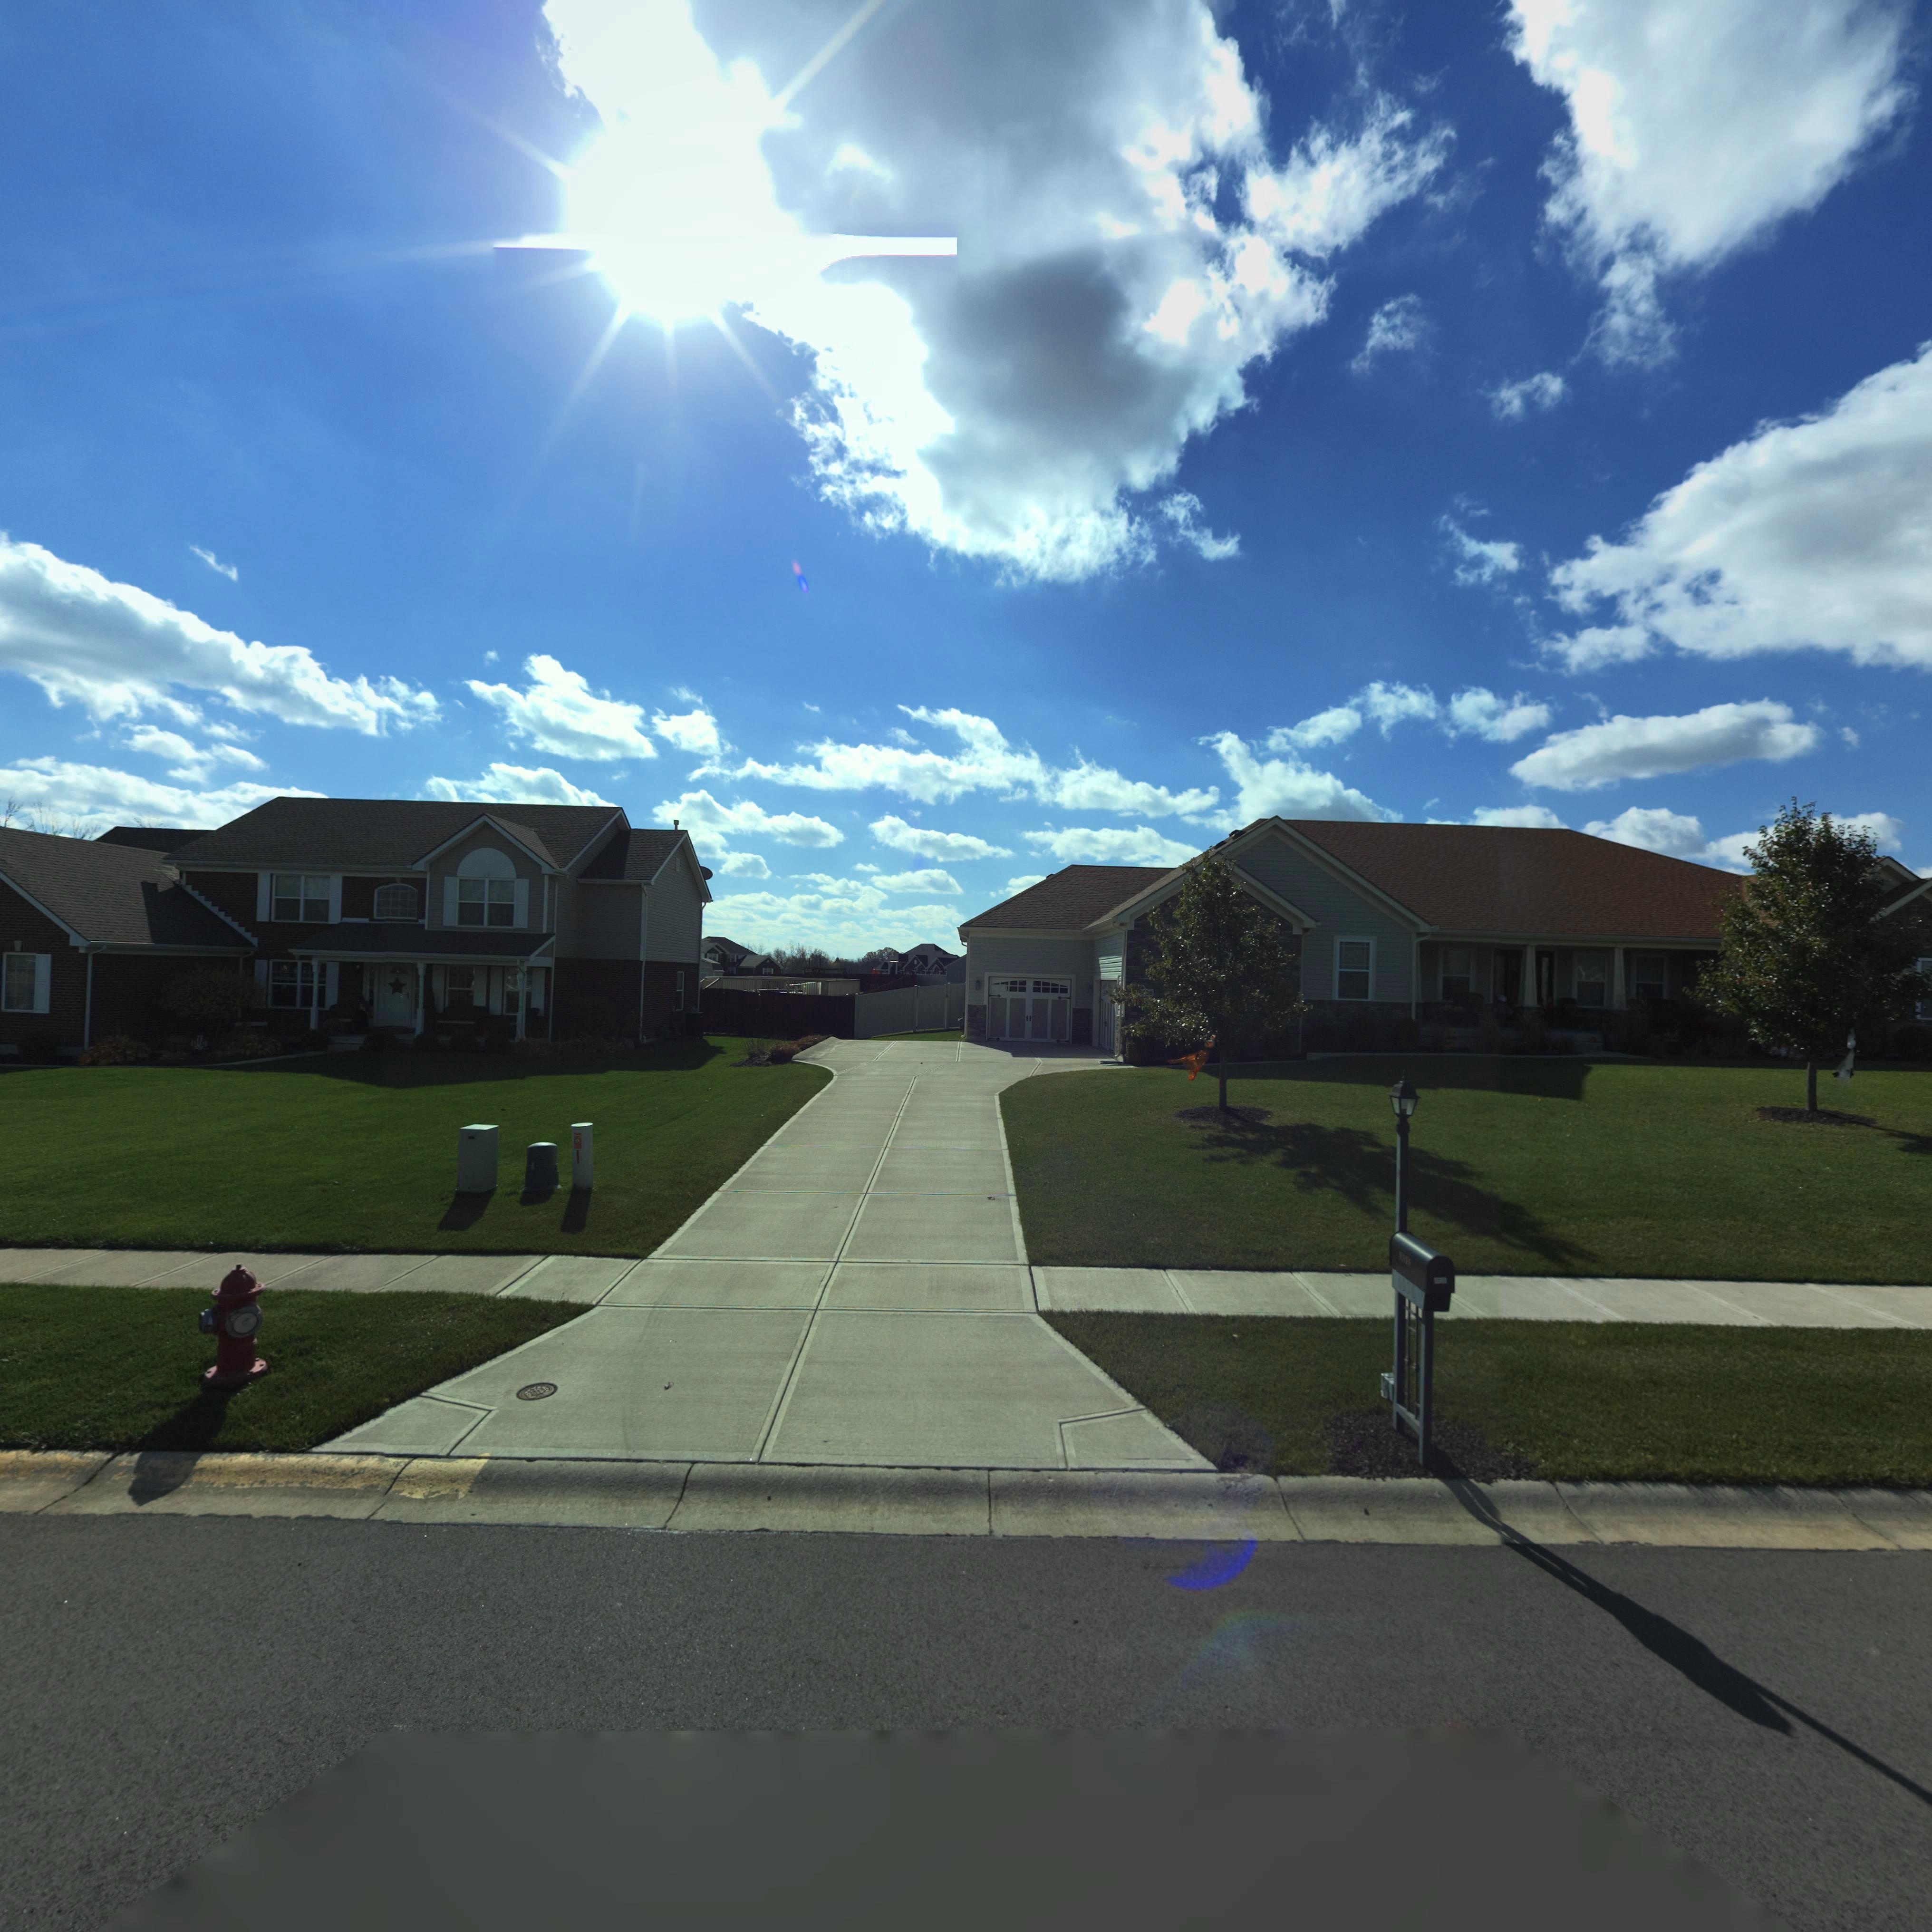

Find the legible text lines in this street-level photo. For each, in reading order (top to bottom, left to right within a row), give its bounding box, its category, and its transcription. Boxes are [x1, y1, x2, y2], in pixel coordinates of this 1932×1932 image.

[1149, 990, 1153, 995] StreetNumber: 6
[1398, 1249, 1411, 1269] StreetNumber: *9*6
[1396, 1274, 1417, 1300] StreetNumber: 6936